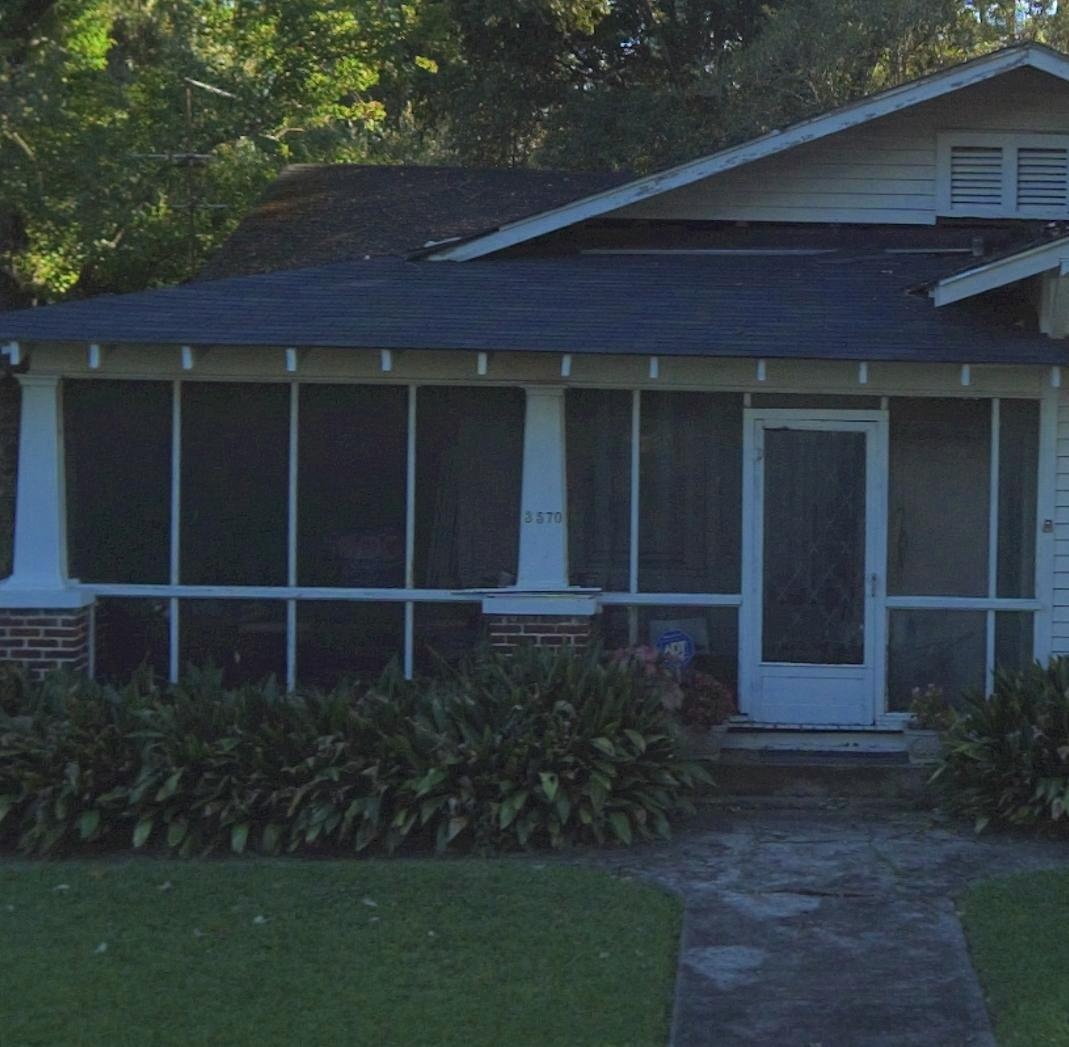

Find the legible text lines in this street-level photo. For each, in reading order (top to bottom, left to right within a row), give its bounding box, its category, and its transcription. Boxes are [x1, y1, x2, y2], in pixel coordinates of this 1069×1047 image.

[523, 510, 564, 526] StreetNumber: 3570
[668, 638, 688, 658] None: DT